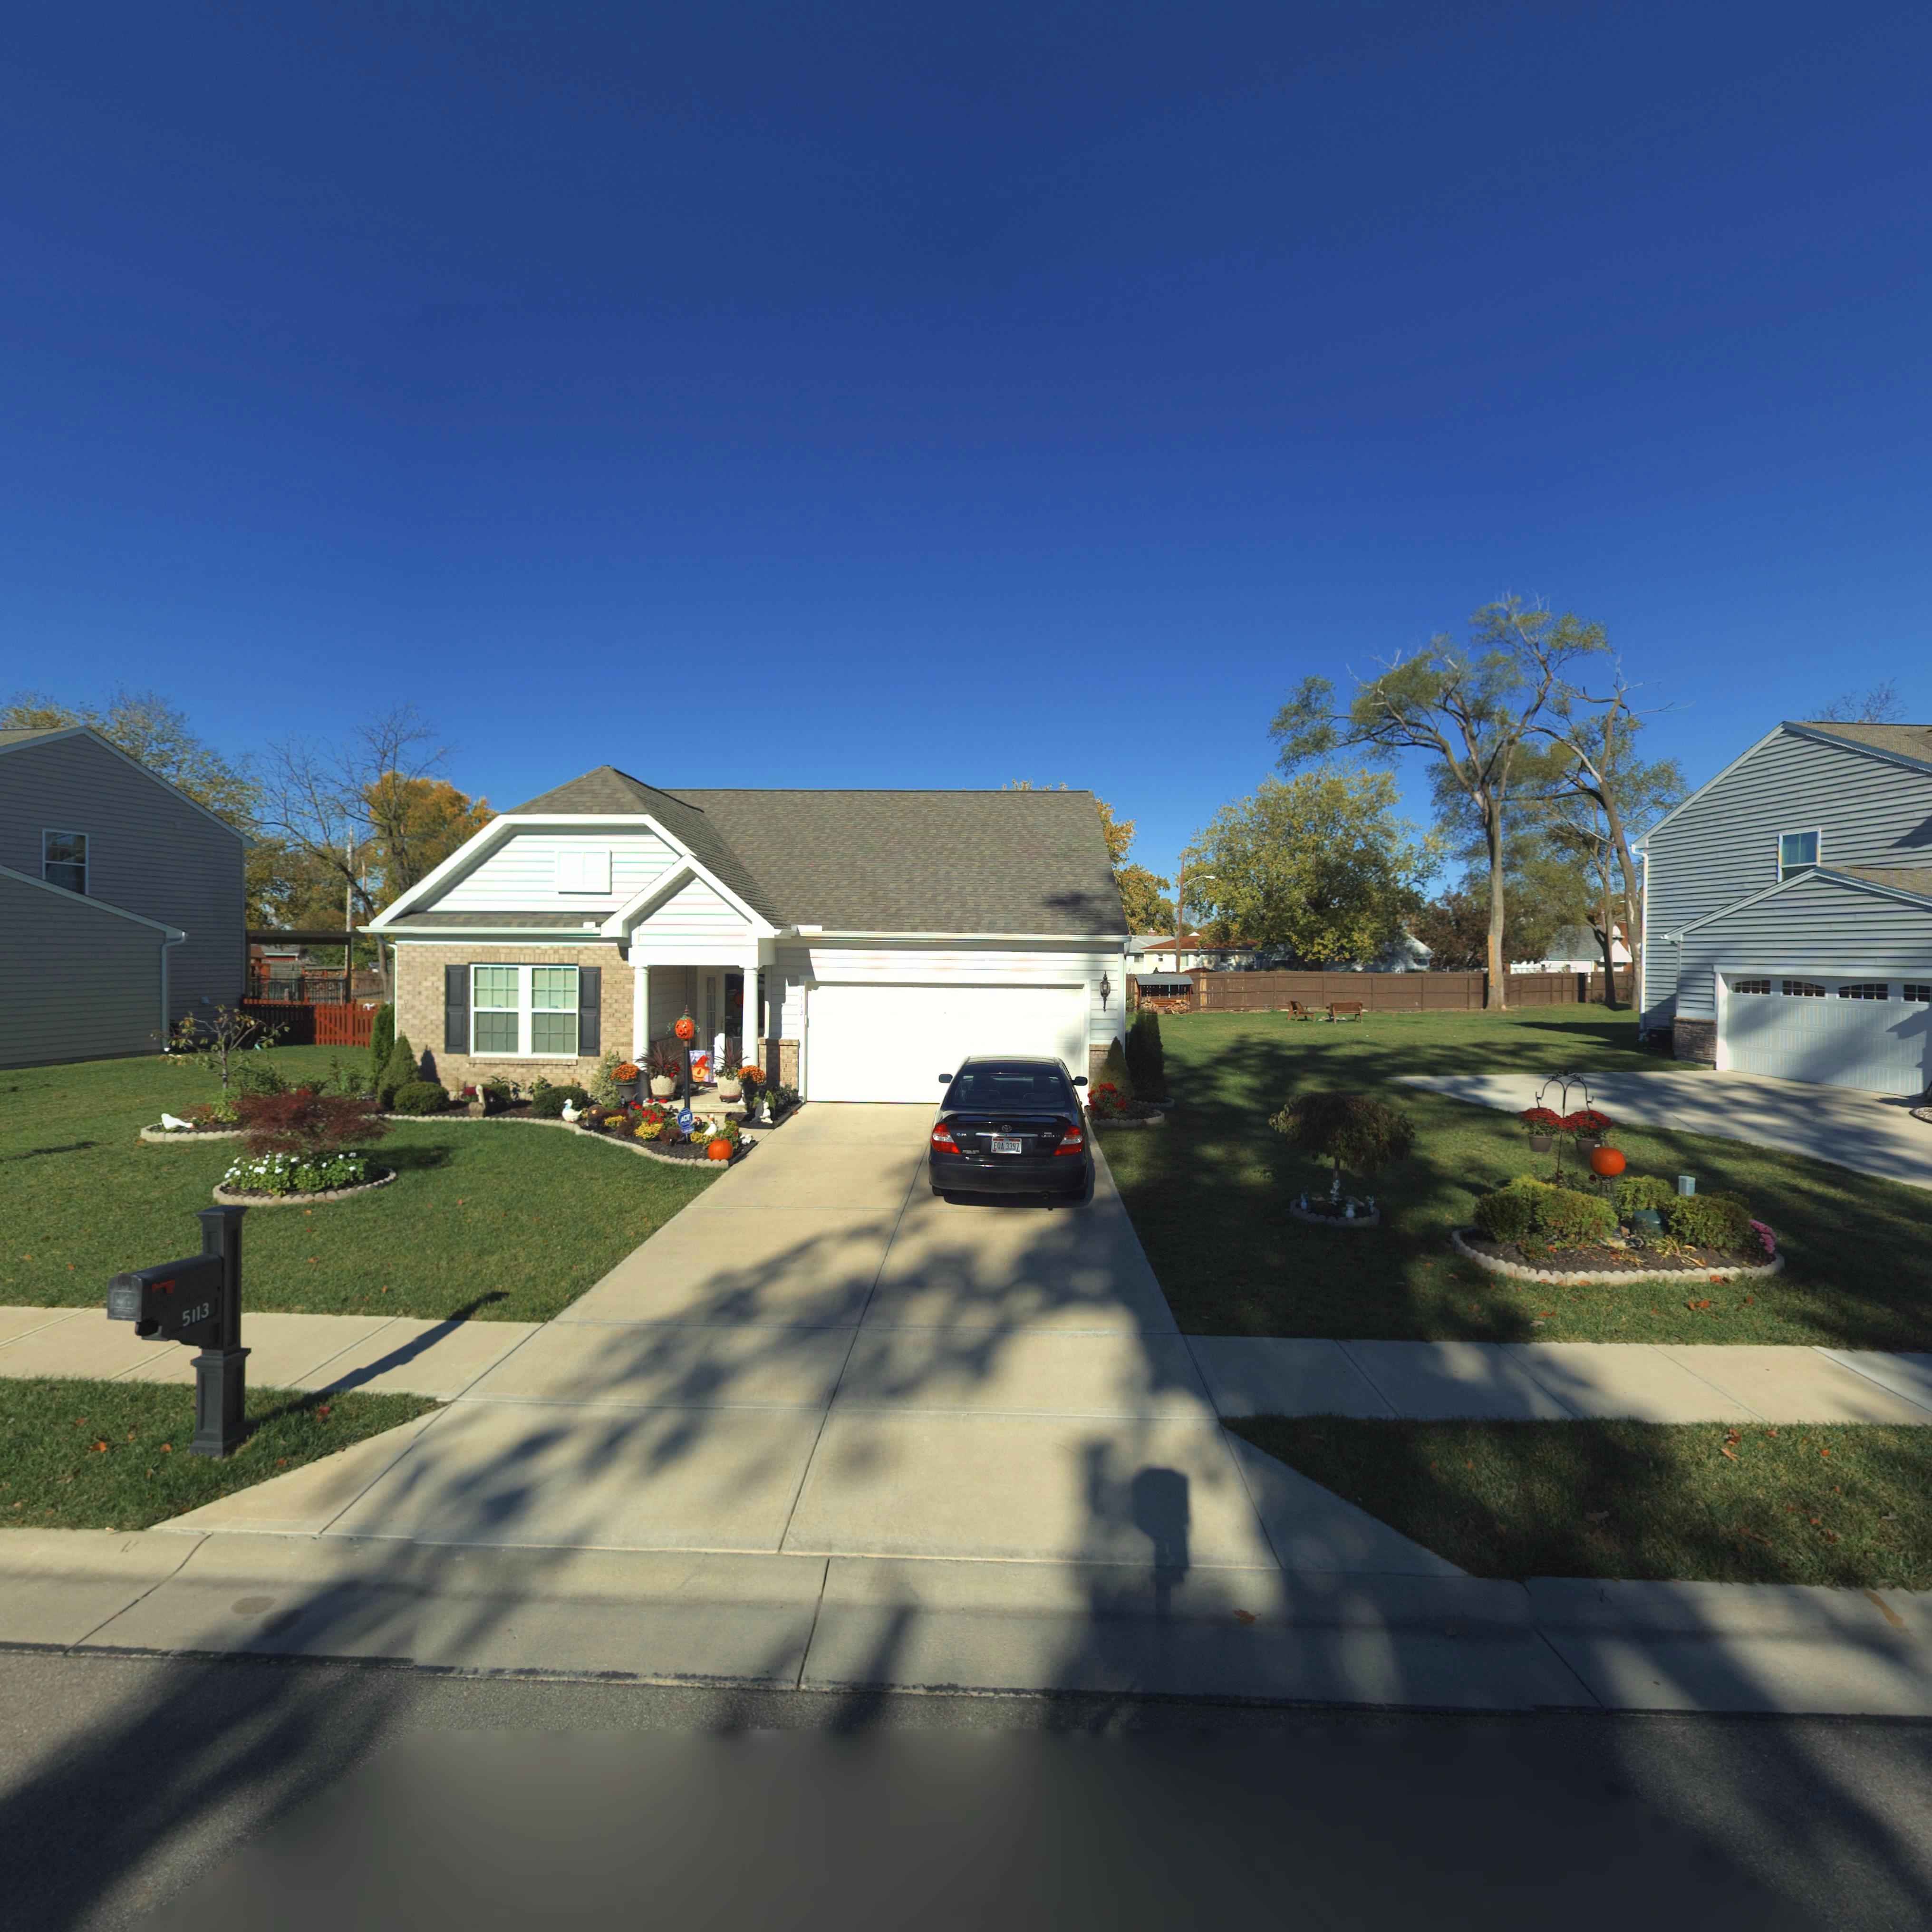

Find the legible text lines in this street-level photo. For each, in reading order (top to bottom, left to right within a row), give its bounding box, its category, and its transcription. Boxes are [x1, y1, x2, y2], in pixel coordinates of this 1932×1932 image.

[799, 988, 804, 1016] StreetNumber: 5113
[182, 1301, 210, 1328] StreetNumber: 5113